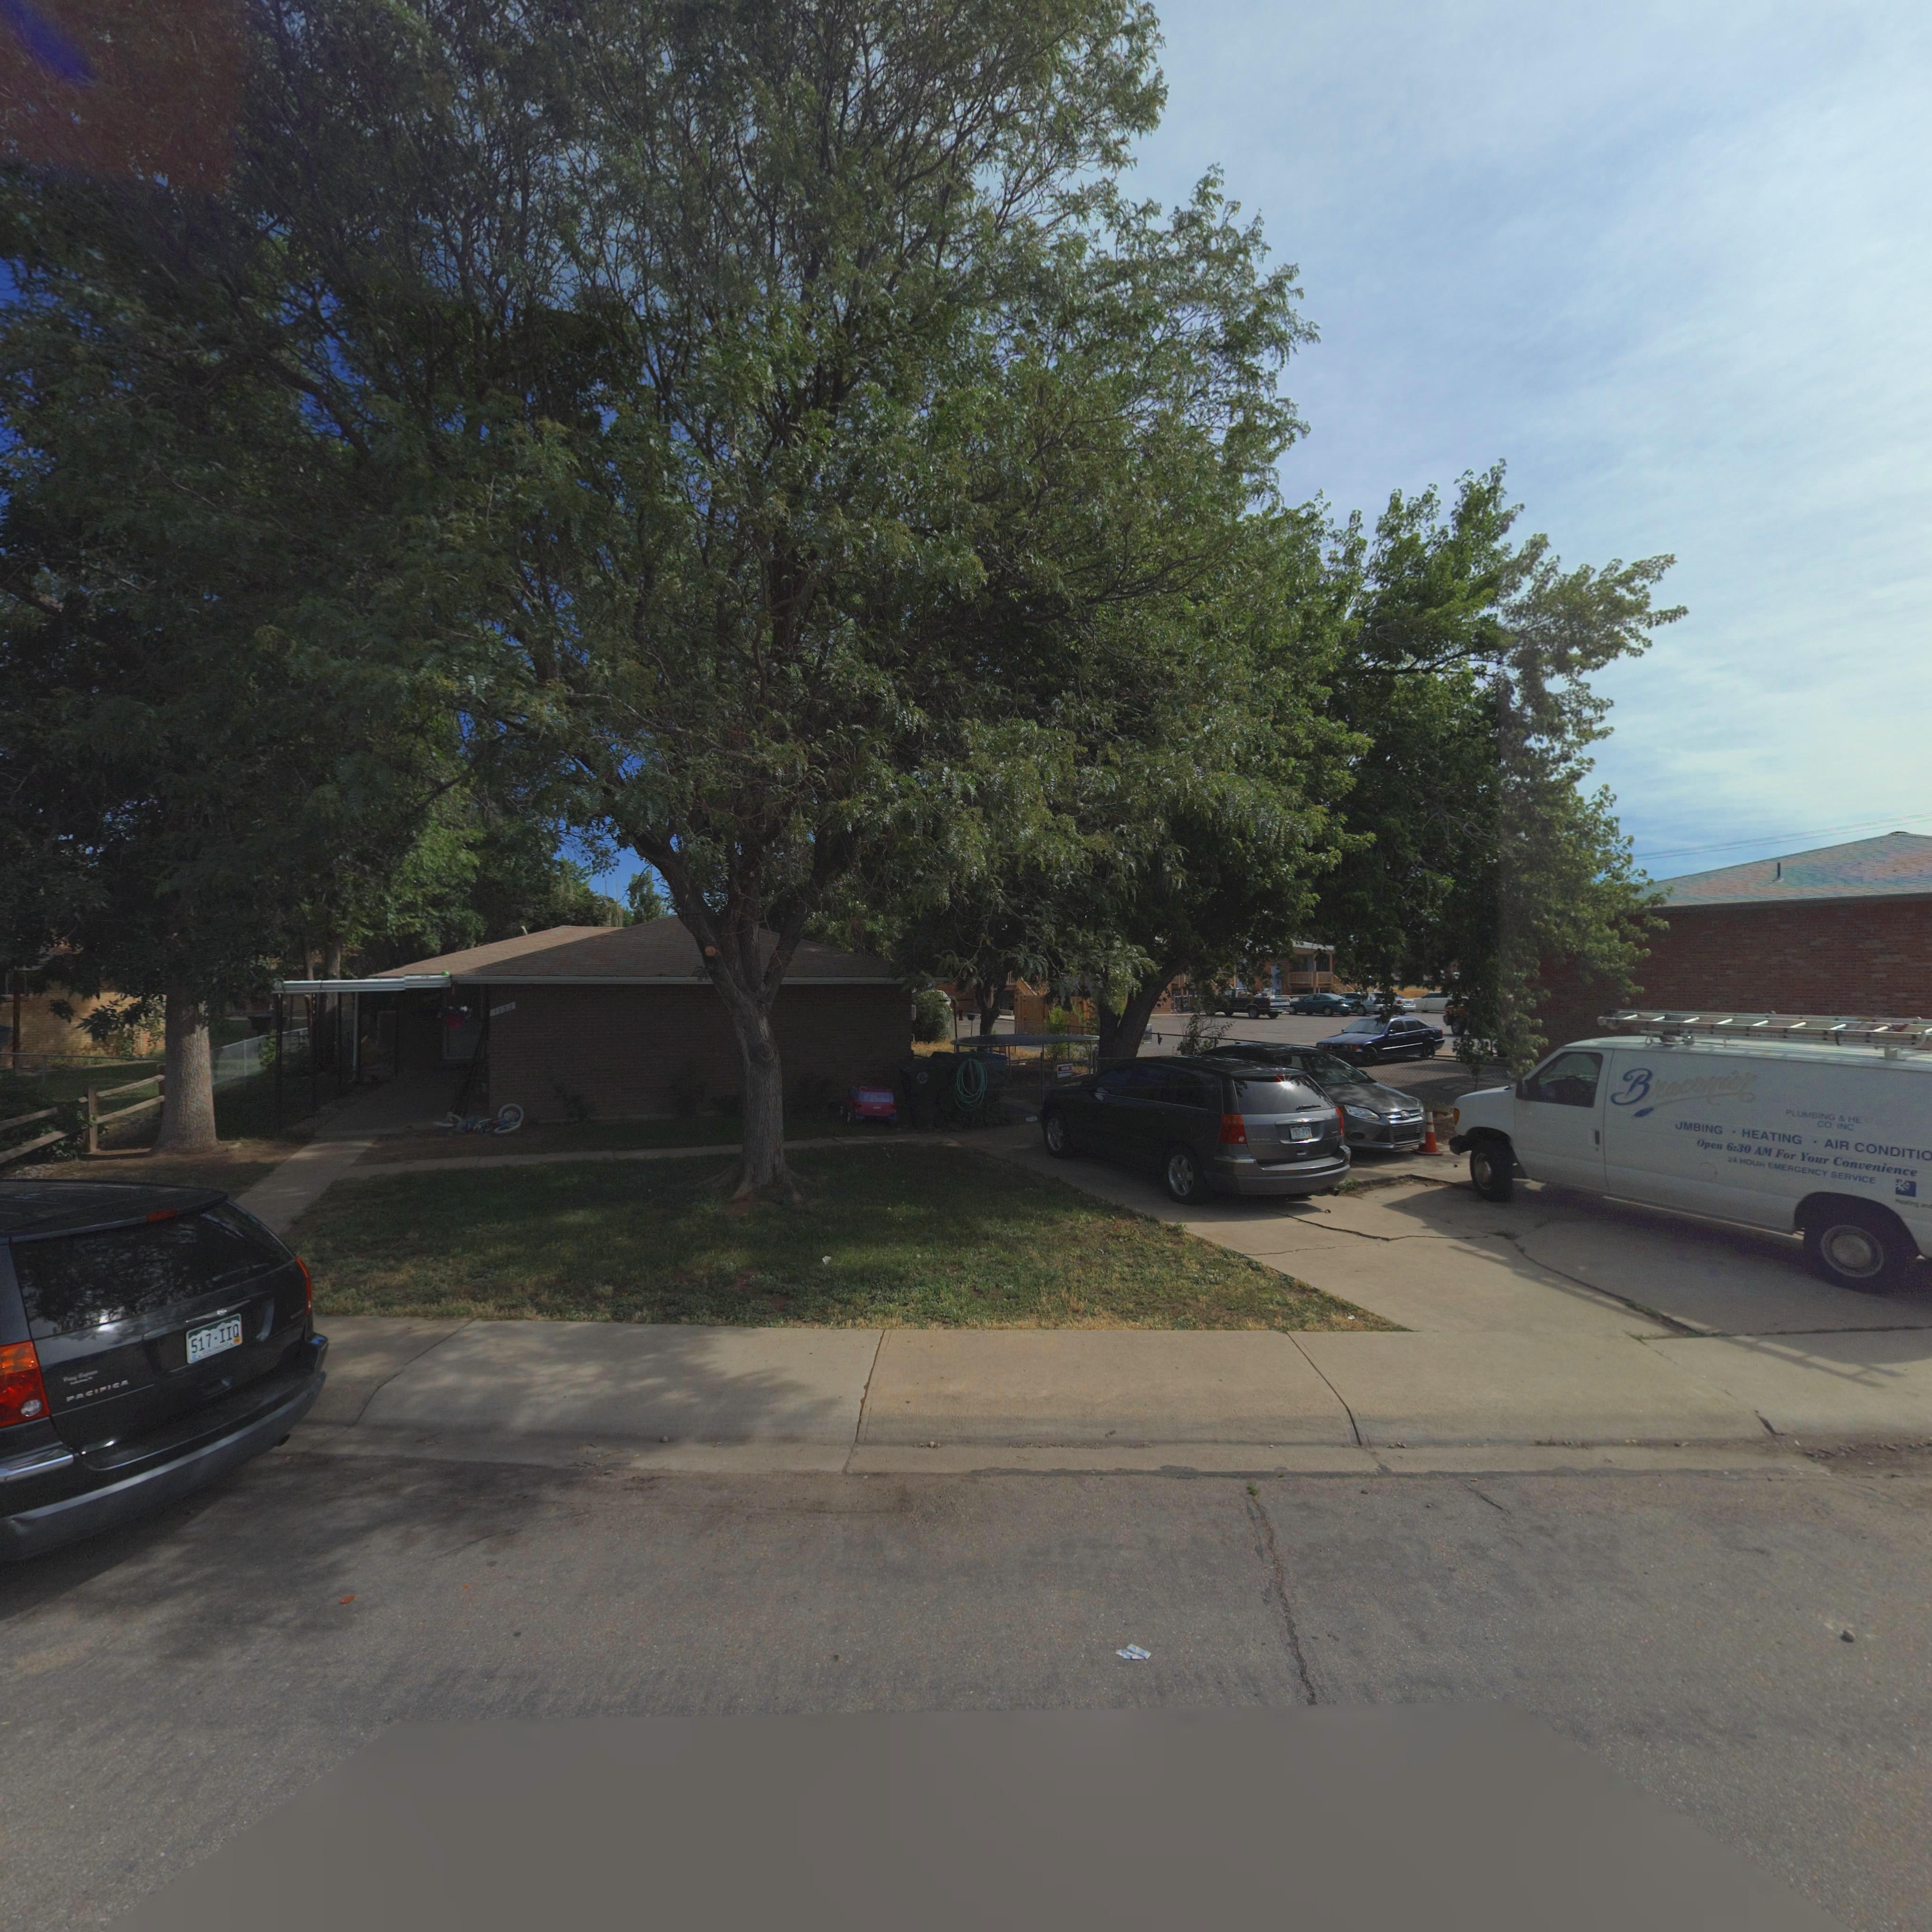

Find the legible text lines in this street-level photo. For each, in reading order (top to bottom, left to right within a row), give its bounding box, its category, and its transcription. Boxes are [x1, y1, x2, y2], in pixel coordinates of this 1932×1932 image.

[492, 1002, 513, 1016] StreetNumber: 1732